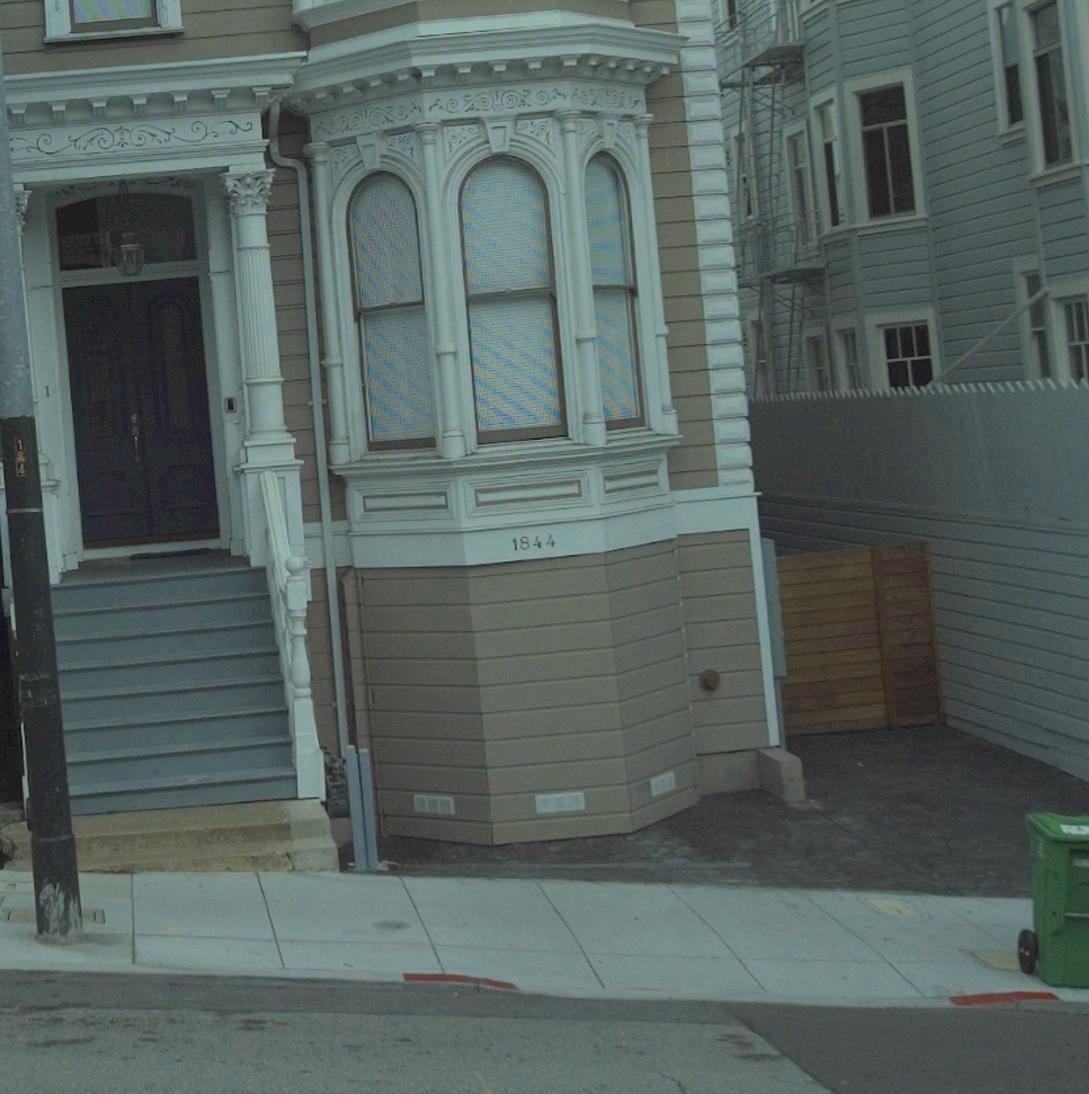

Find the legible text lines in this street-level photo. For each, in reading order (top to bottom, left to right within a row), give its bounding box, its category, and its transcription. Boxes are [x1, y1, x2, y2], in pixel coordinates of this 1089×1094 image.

[17, 438, 25, 475] None: 1*4
[511, 533, 556, 552] StreetNumber: 1844